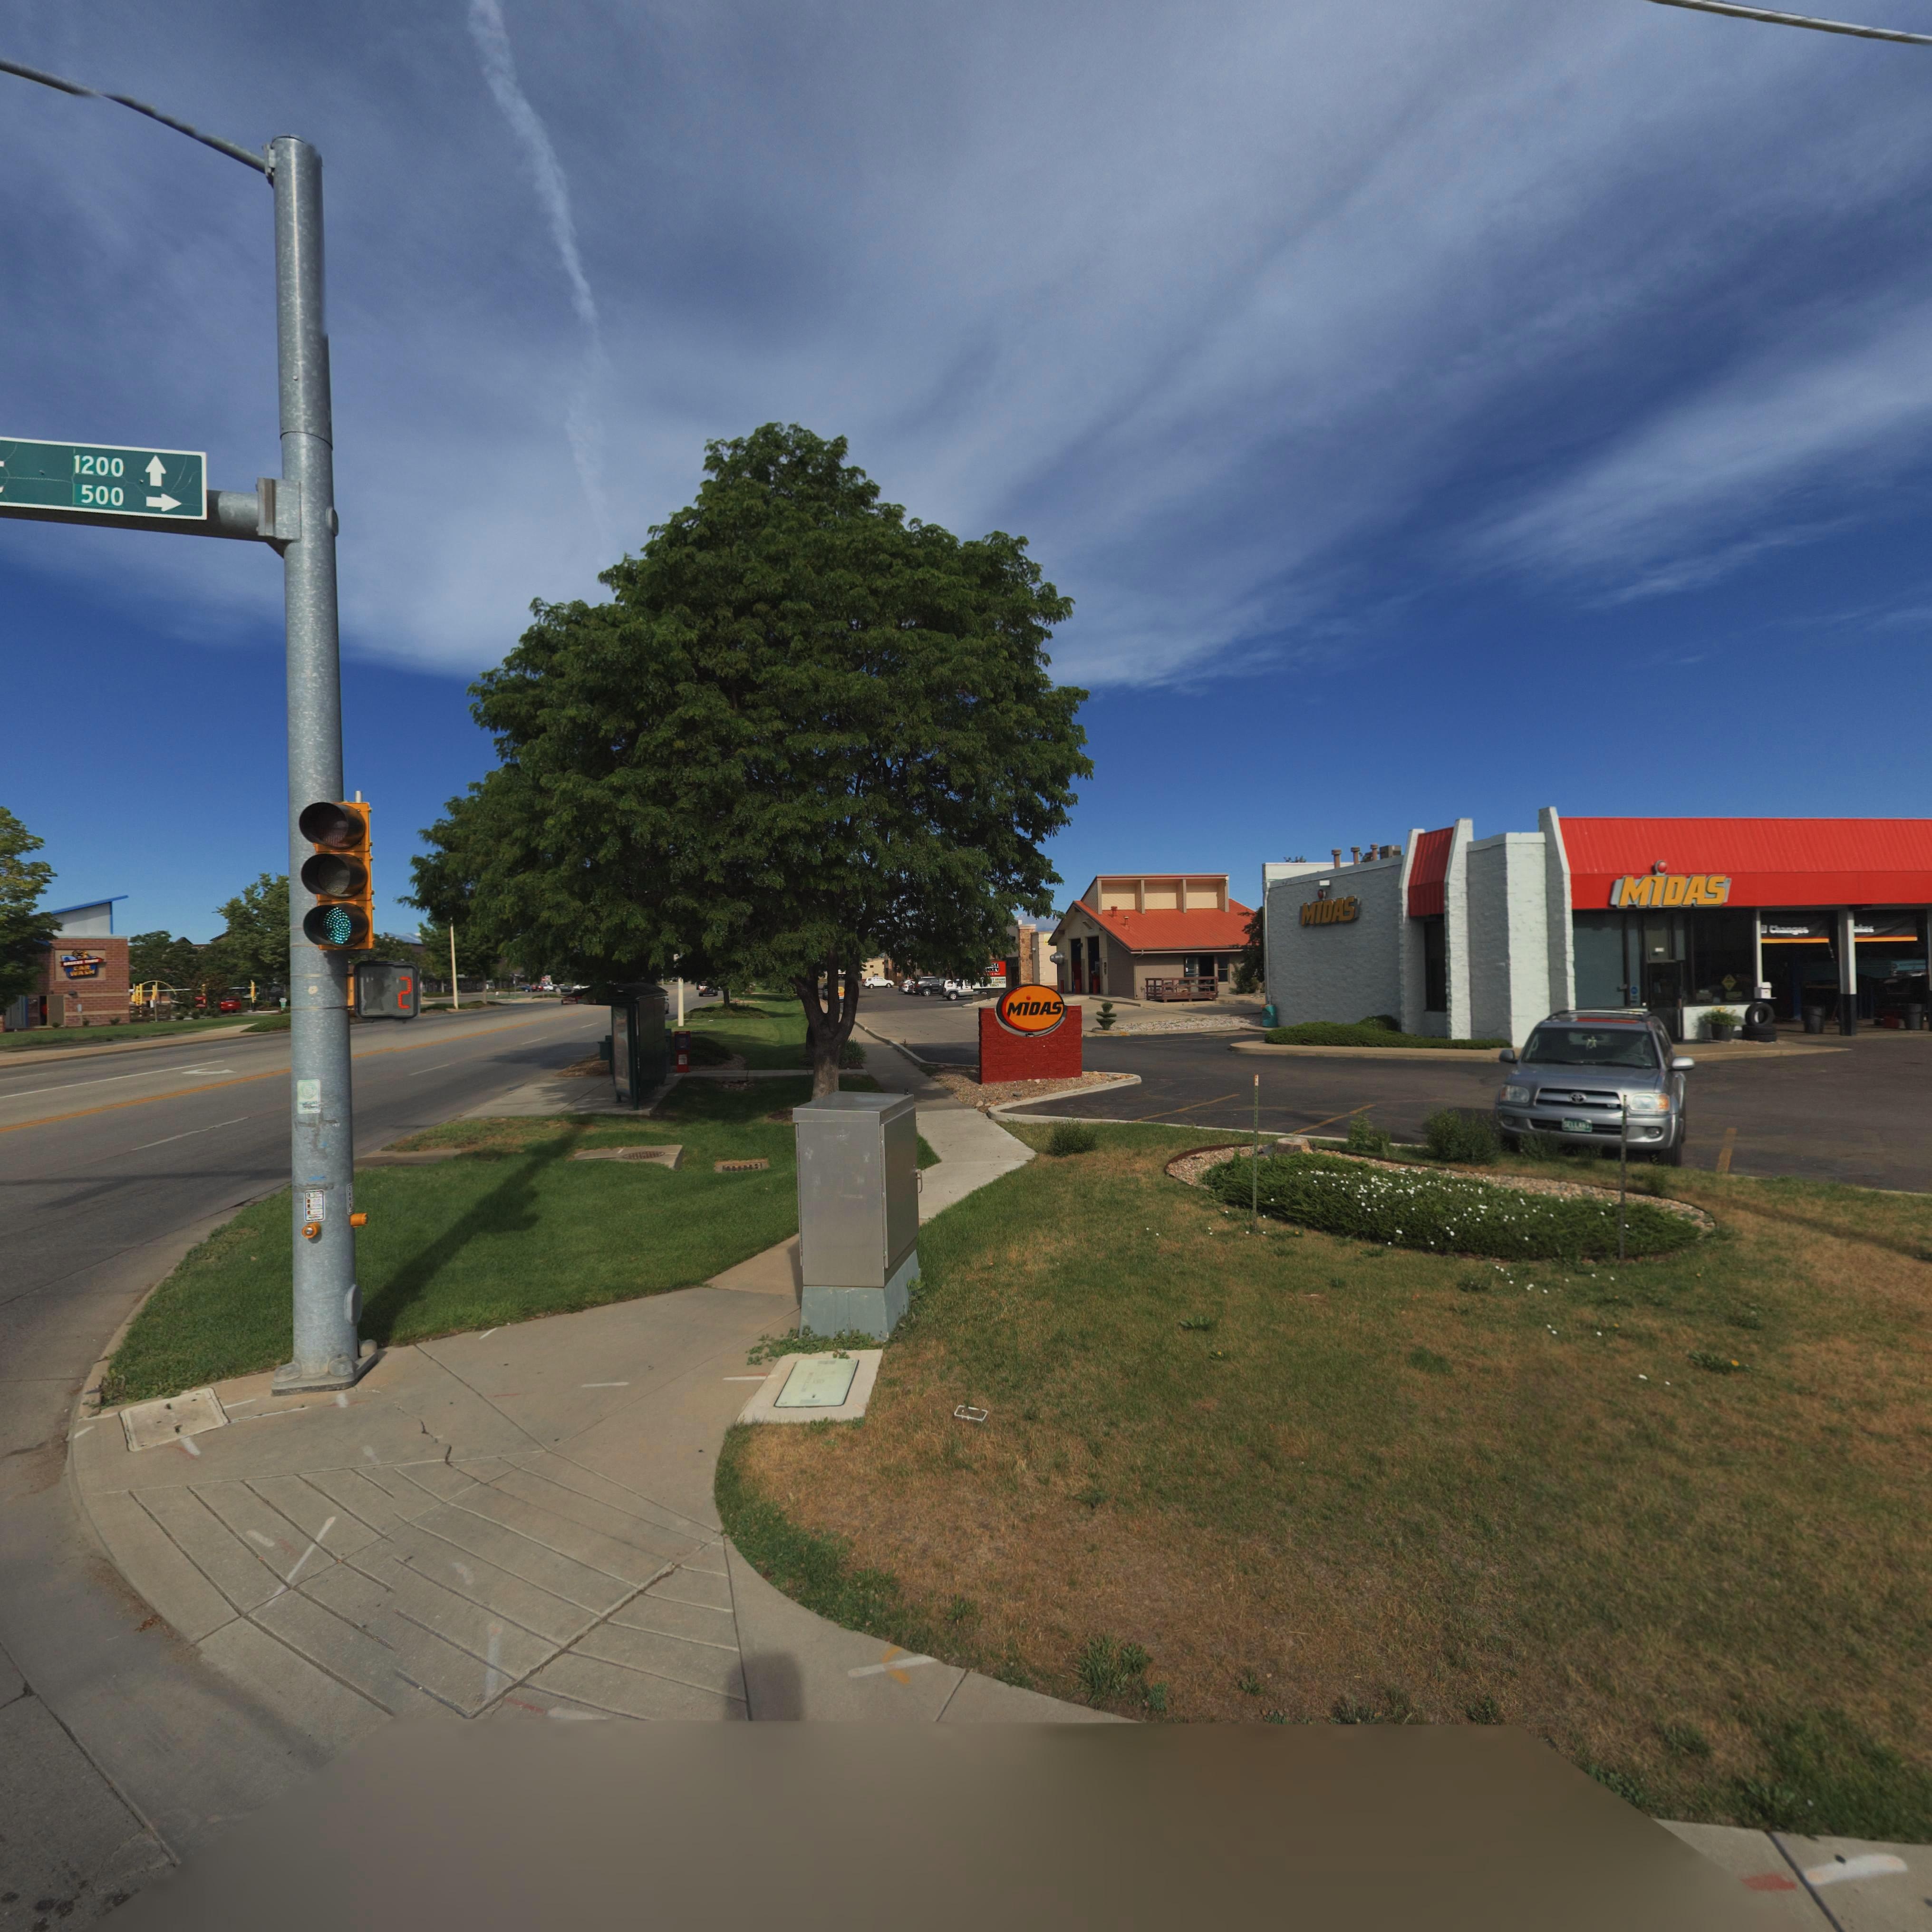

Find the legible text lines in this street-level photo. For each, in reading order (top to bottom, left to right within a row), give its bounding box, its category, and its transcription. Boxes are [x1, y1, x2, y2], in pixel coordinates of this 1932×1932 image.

[73, 454, 125, 478] StreetNumberRange: 1200
[80, 483, 183, 513] StreetNumberRange: 500->
[1617, 860, 1727, 907] BusinessName: MiDAS
[1301, 889, 1355, 926] BusinessName: MiDAS
[63, 958, 98, 966] BusinessName: ***zz* ****
[72, 964, 91, 971] BusinessName: C**
[68, 969, 95, 976] BusinessName: *AS*
[985, 967, 1000, 972] BusinessName: *KEY
[991, 963, 998, 967] BusinessName: S*
[1006, 995, 1063, 1017] BusinessName: MiDAS